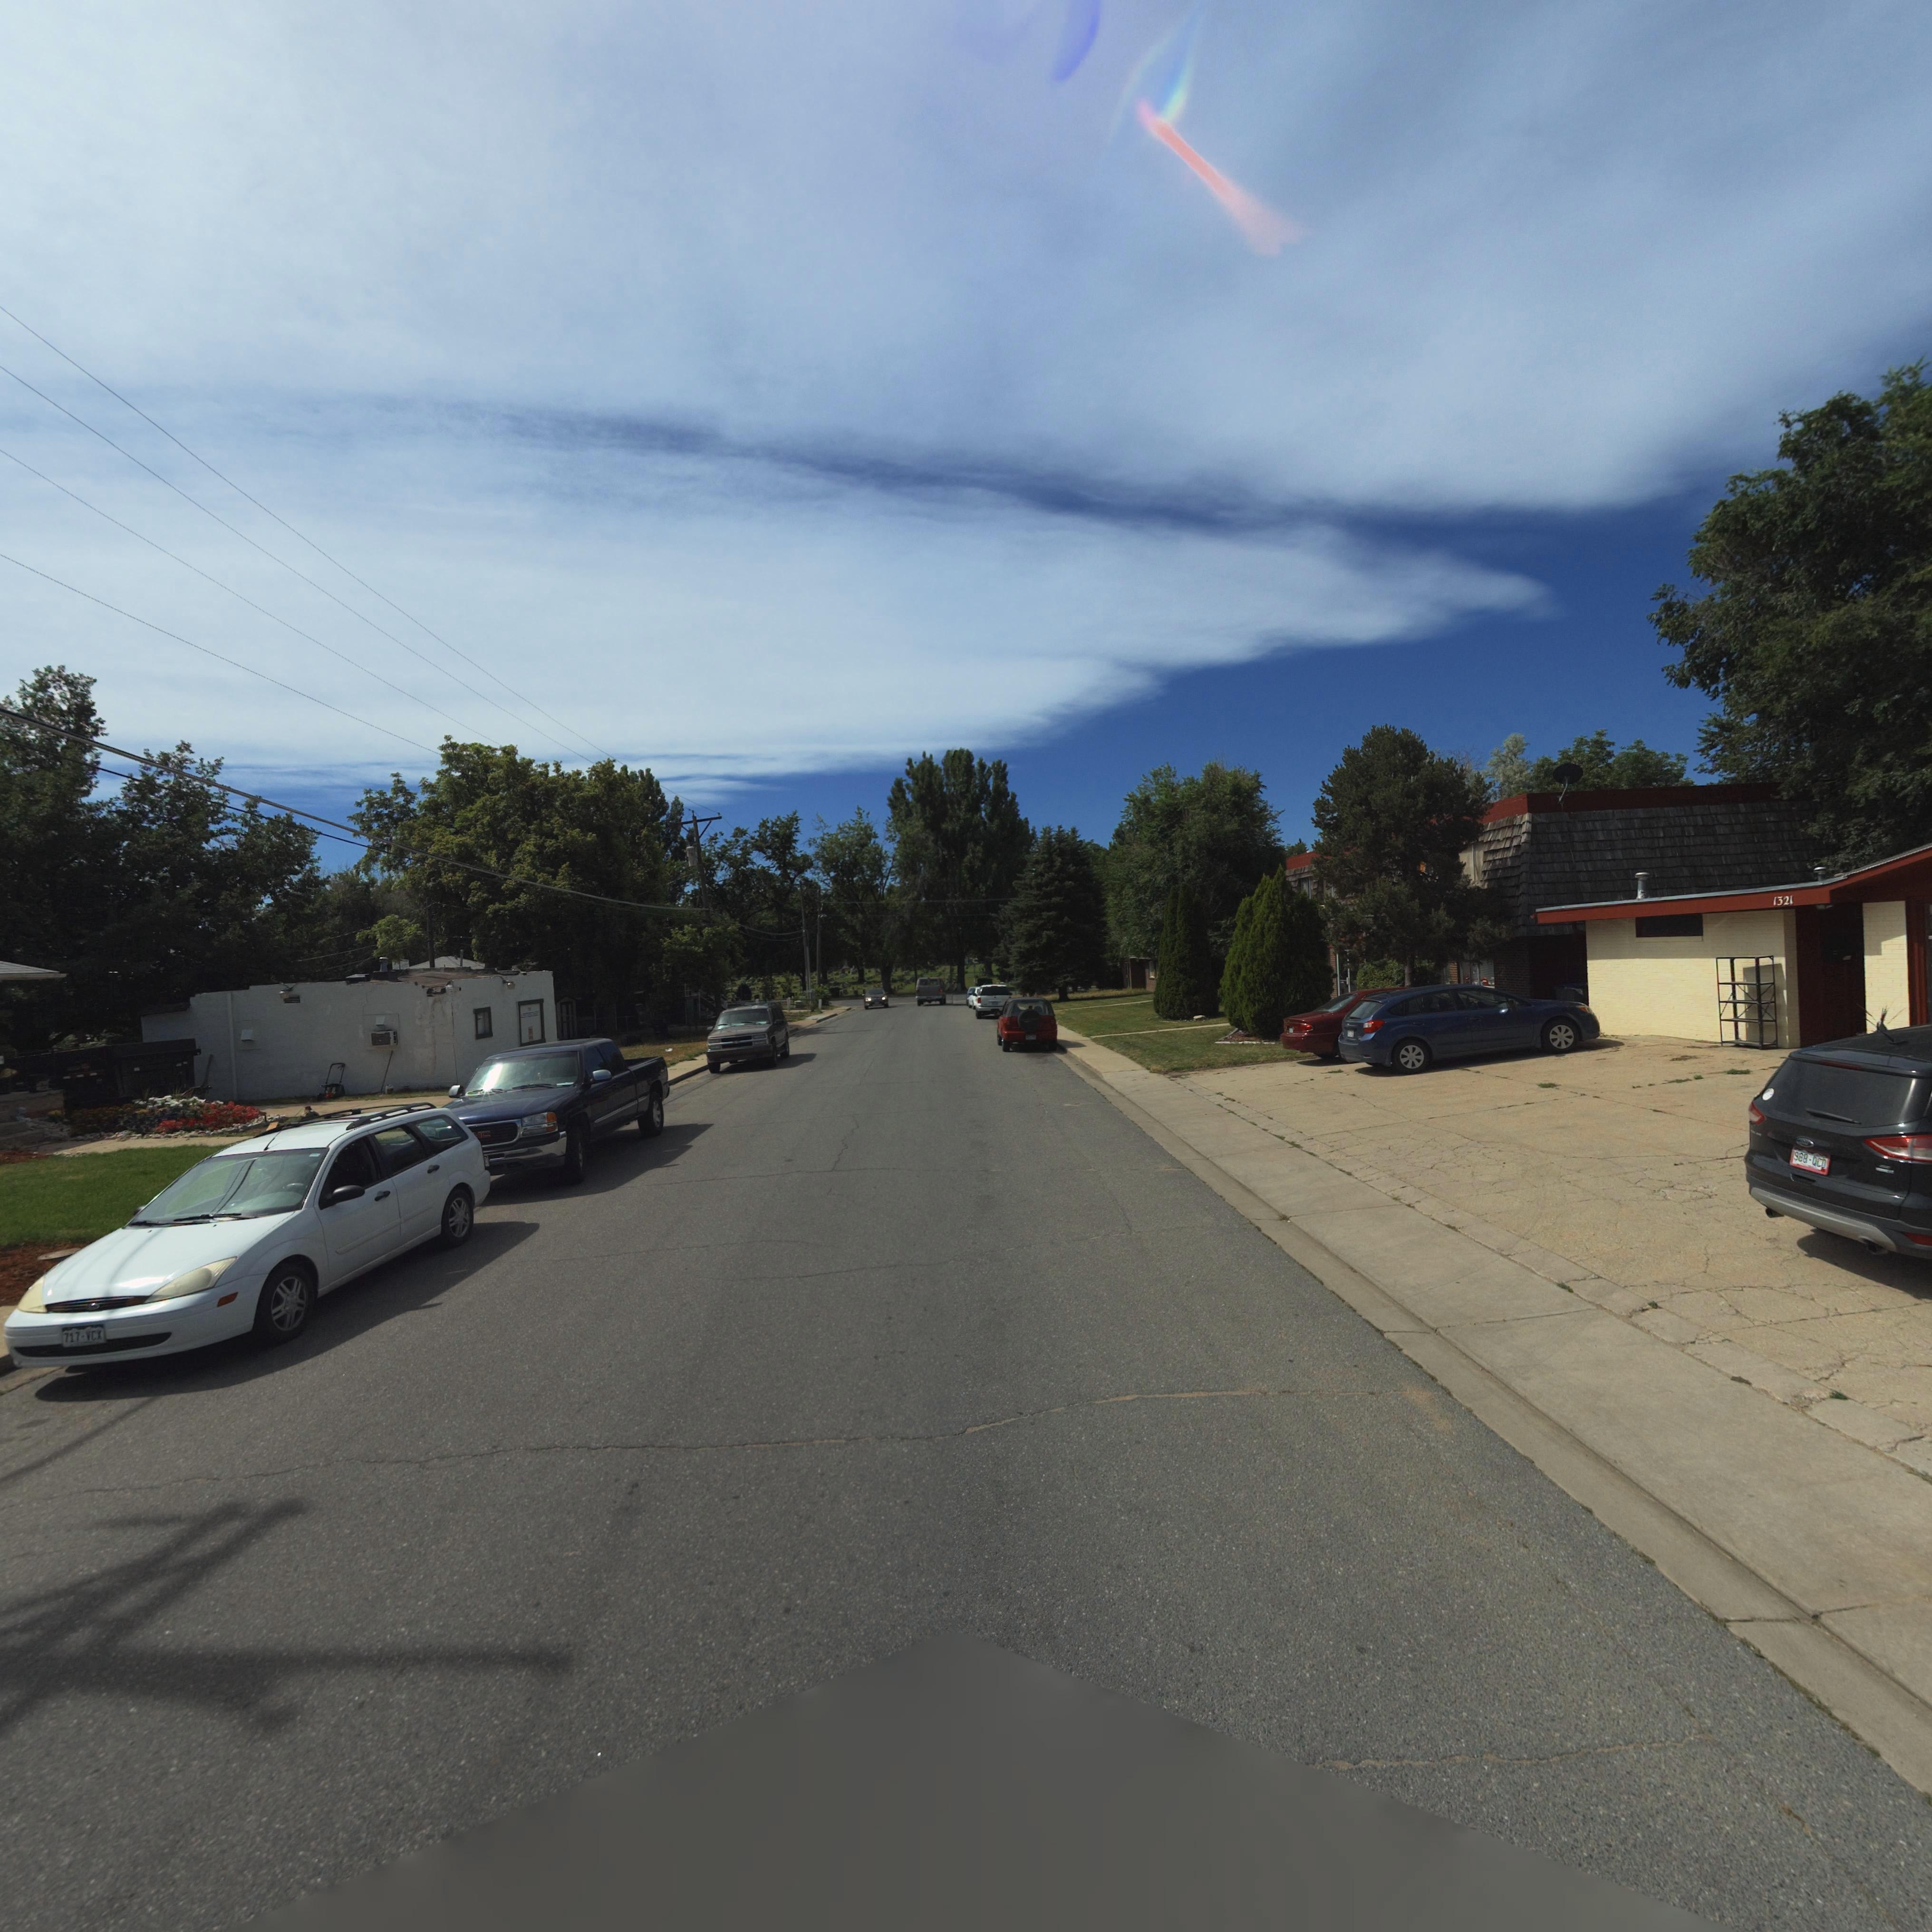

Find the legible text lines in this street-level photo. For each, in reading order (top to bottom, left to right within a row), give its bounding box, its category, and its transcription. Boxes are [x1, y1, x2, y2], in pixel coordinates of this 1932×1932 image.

[1773, 895, 1793, 906] StreetNumber: 1321